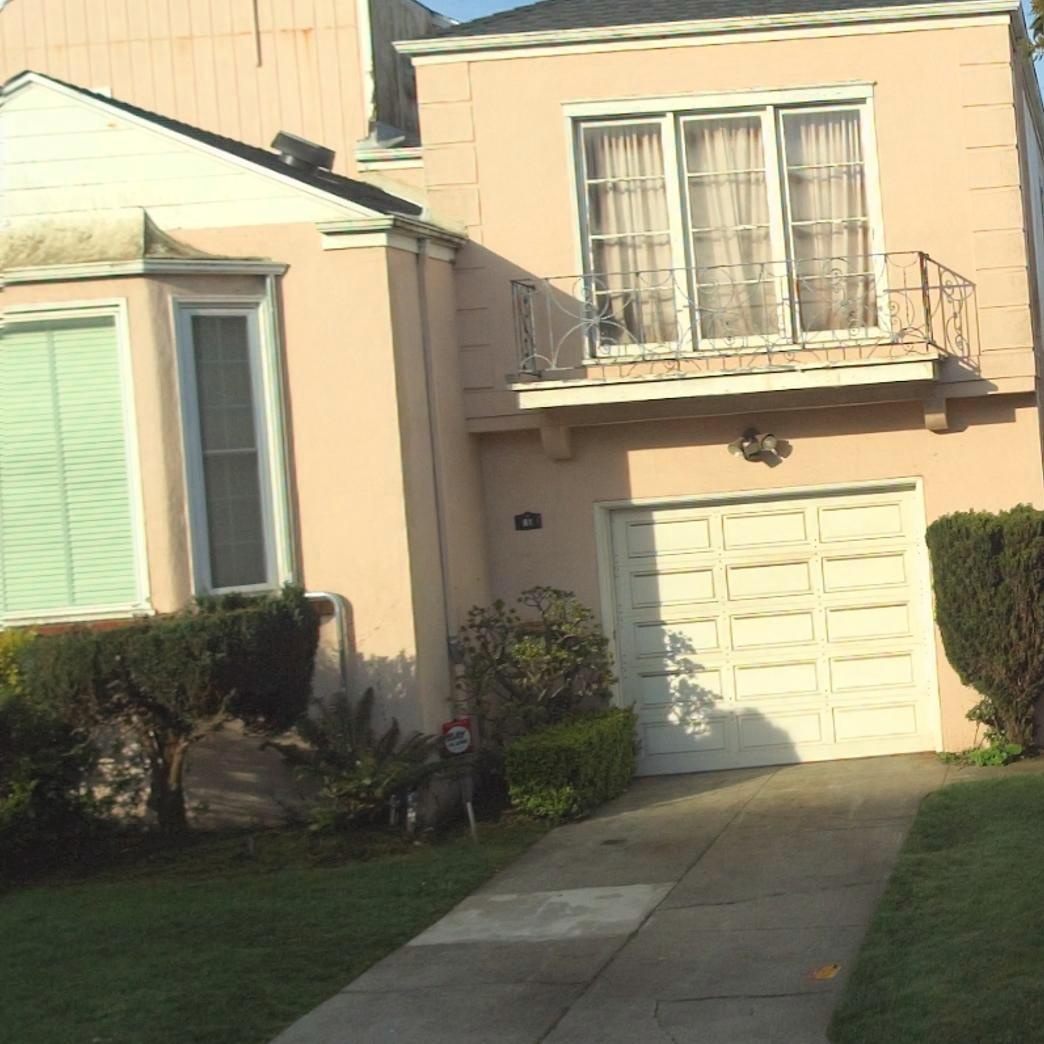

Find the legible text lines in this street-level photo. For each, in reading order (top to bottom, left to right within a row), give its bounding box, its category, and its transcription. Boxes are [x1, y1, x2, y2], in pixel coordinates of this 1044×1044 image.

[520, 516, 536, 530] StreetNumber: 61